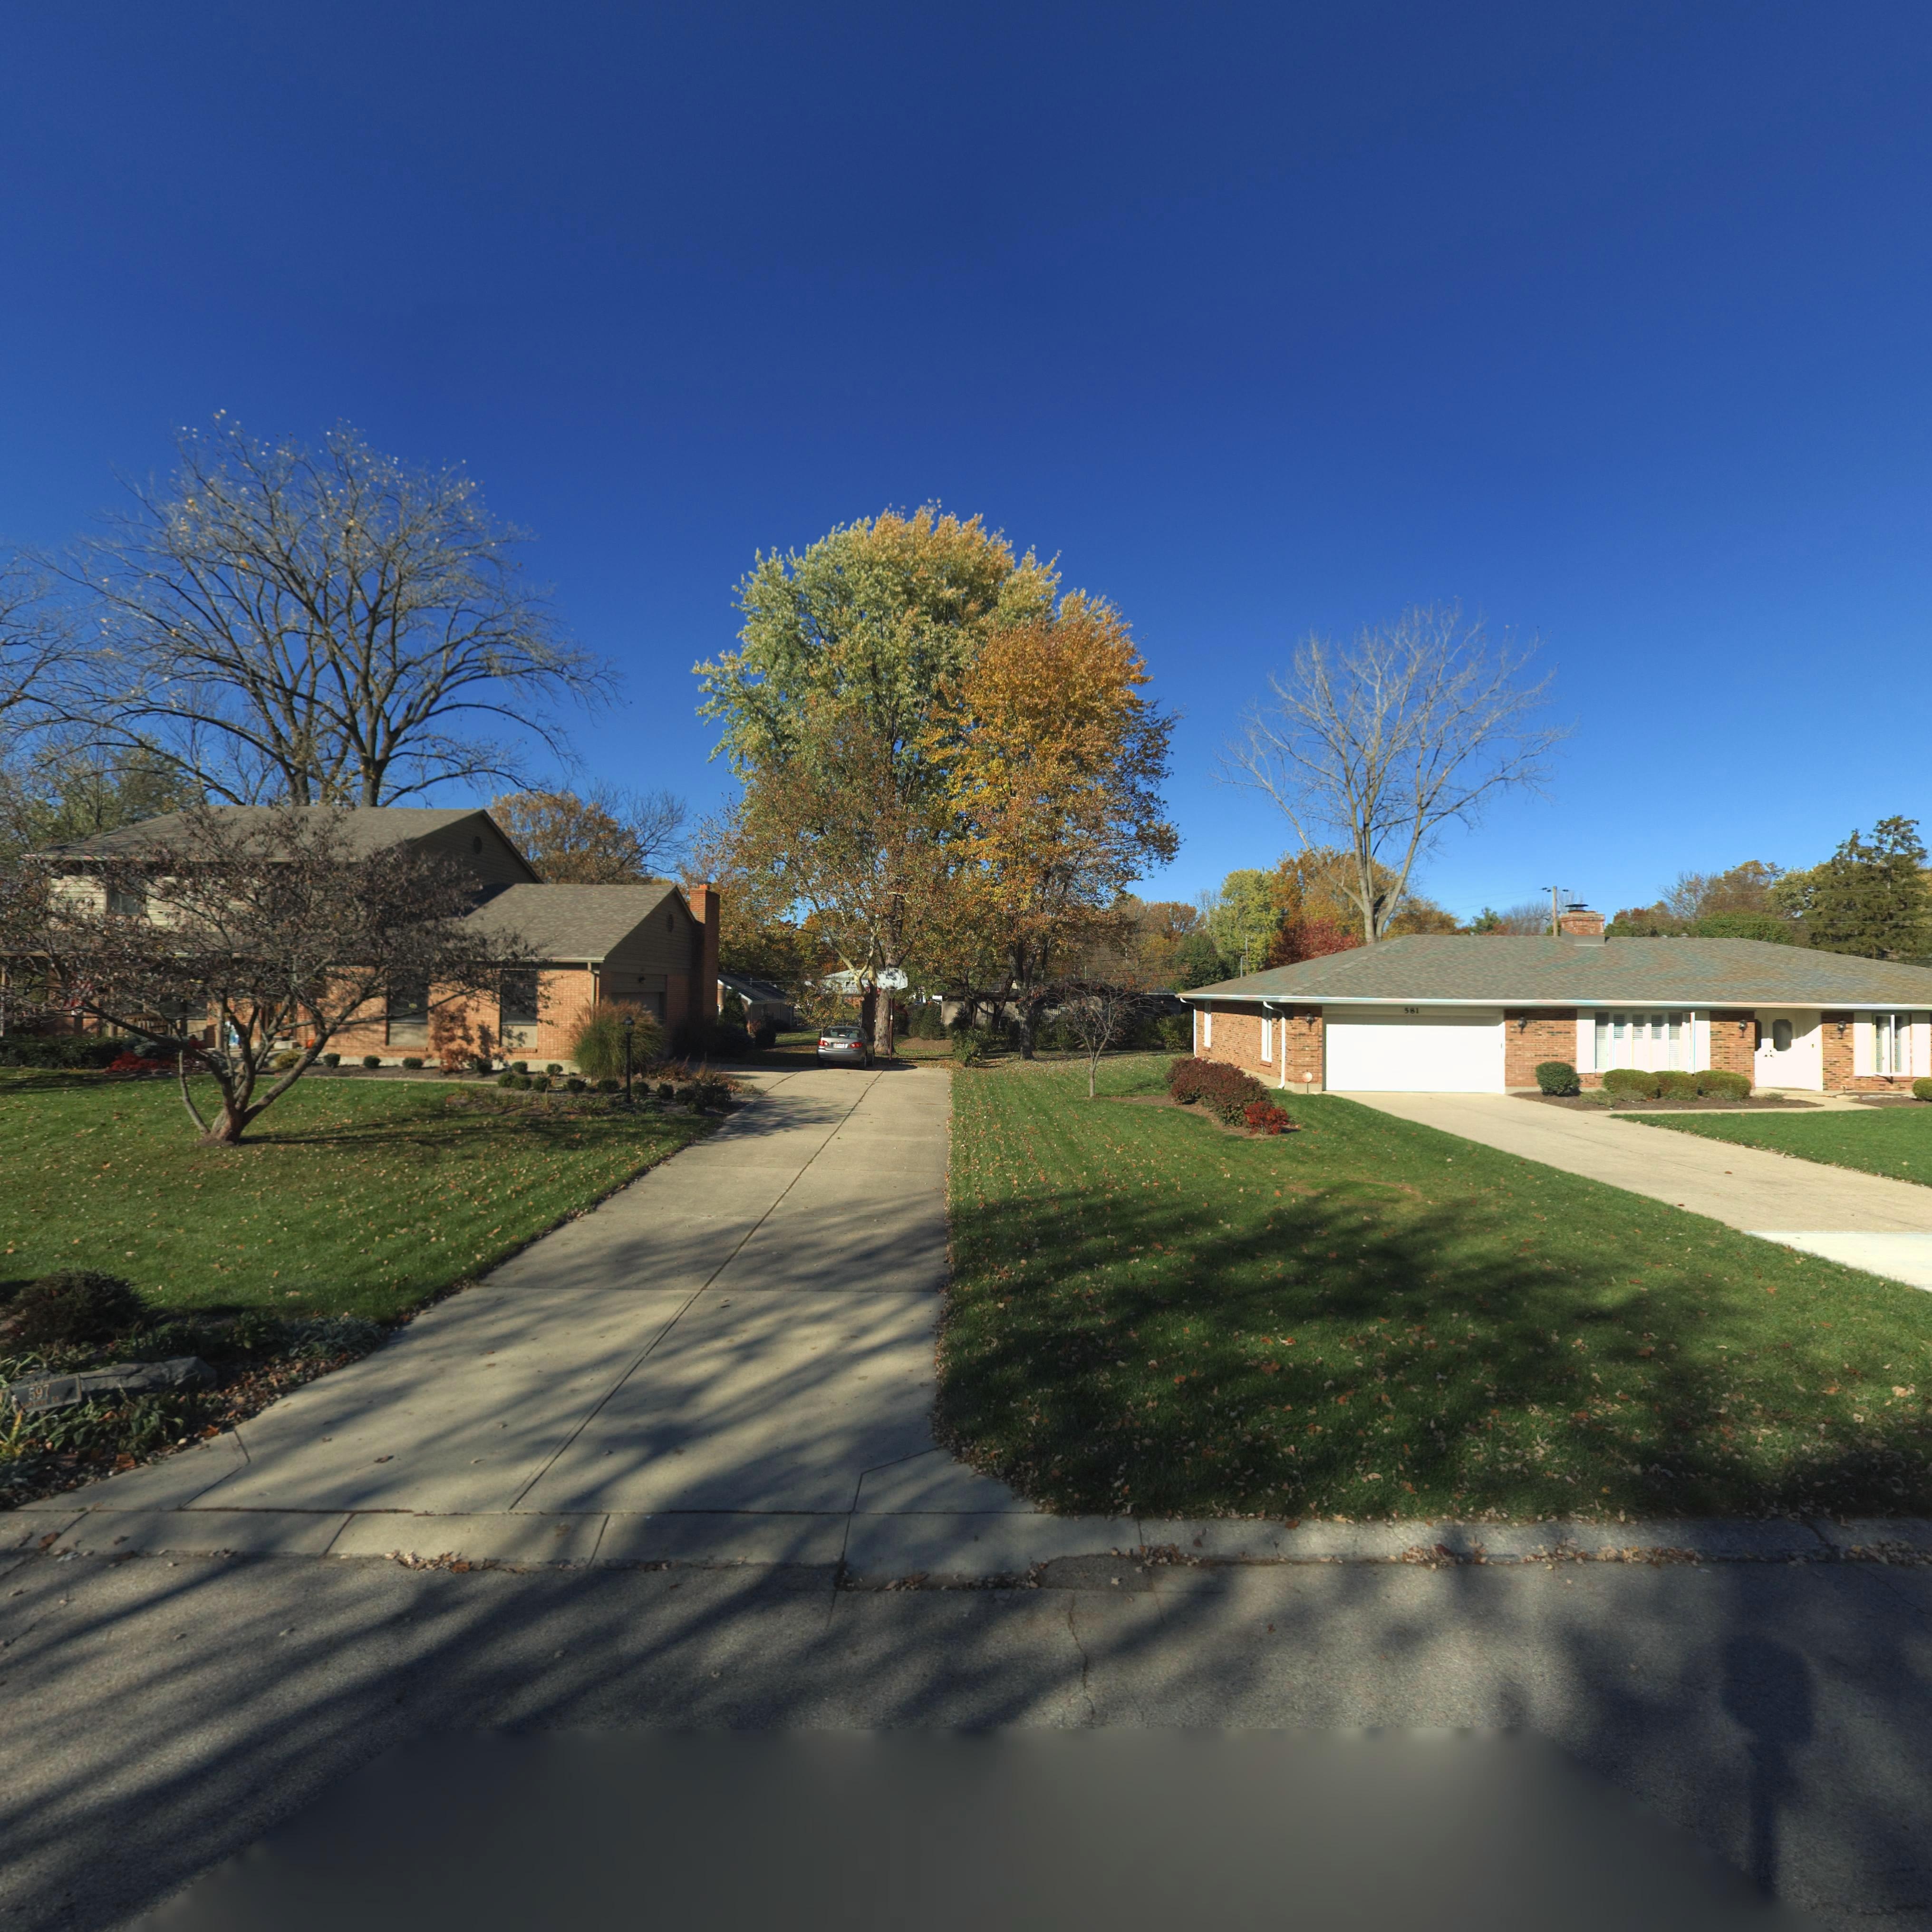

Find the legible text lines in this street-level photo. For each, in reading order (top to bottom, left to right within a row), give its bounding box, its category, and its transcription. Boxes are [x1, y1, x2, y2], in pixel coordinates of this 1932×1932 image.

[1403, 1007, 1420, 1014] StreetNumber: 581
[27, 1382, 51, 1402] StreetNumber: 597